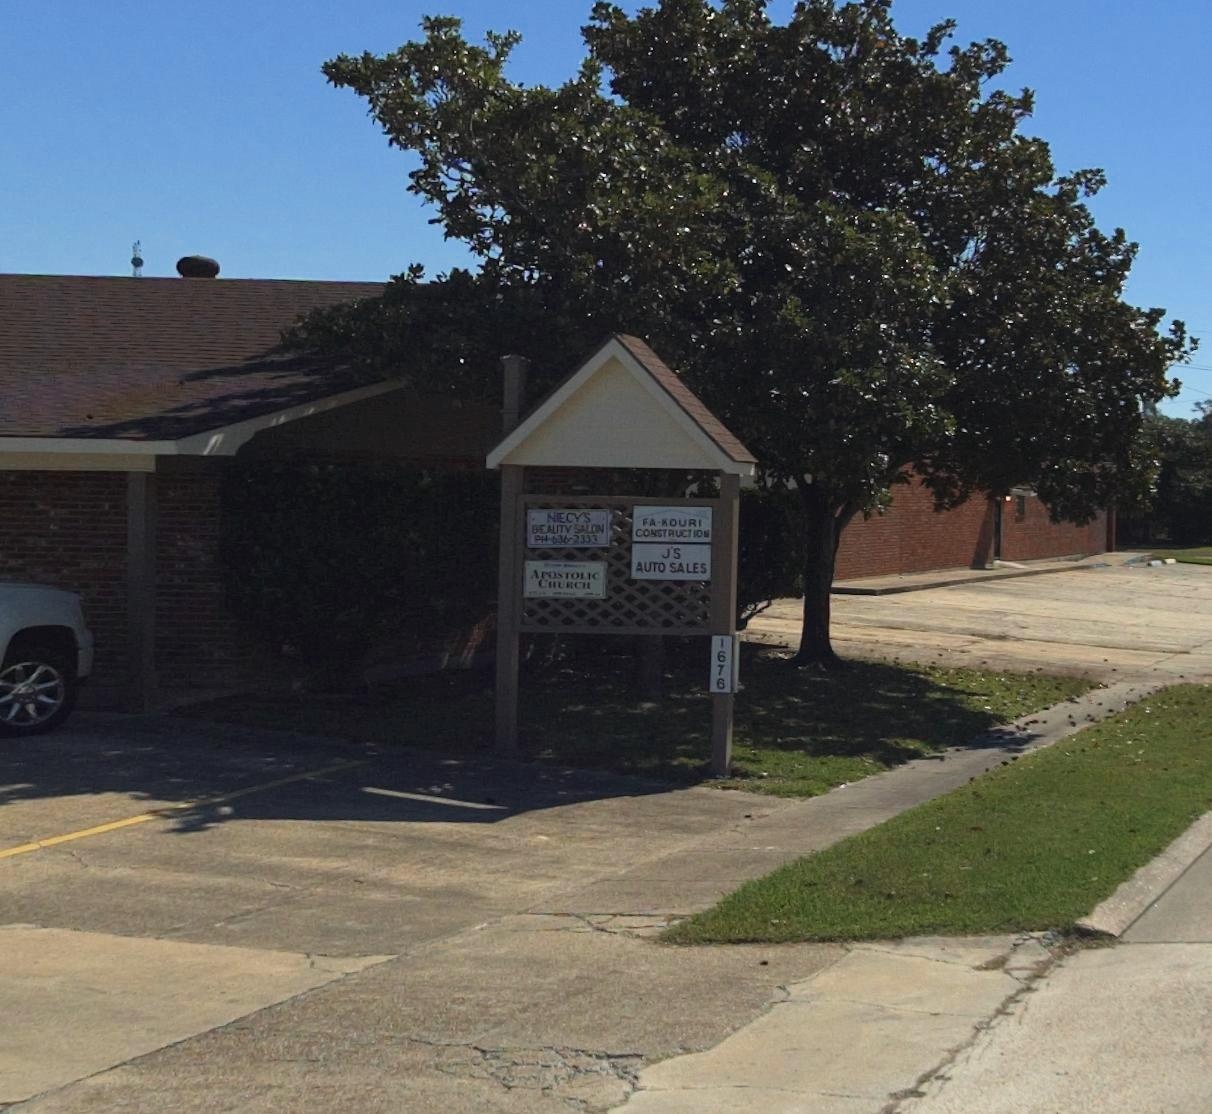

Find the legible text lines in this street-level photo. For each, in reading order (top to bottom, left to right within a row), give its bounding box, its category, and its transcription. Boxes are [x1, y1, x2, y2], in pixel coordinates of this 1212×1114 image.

[529, 522, 606, 536] BusinessName: BEAUTY SALON
[545, 510, 593, 525] BusinessName: NIECY'S
[633, 526, 711, 540] BusinessName: CONSTRUCTION
[641, 515, 704, 529] BusinessName: FA*KOURI
[659, 544, 683, 560] BusinessName: J'S
[633, 559, 710, 576] BusinessName: AUTO SALES
[526, 568, 602, 583] BusinessName: APOS*OLIC
[537, 577, 593, 592] BusinessName: CHURCH
[713, 635, 729, 693] StreetNumber: 1676